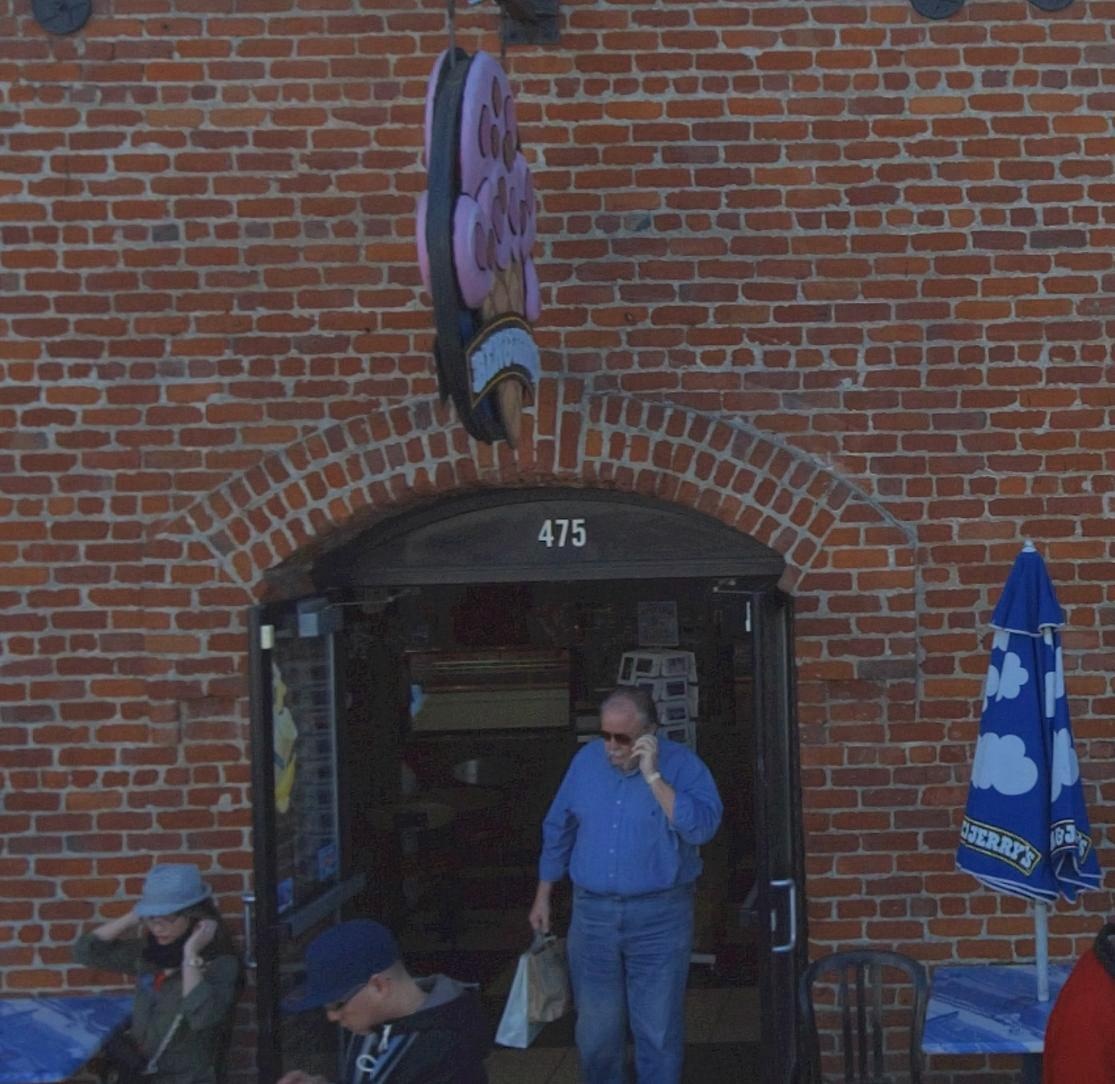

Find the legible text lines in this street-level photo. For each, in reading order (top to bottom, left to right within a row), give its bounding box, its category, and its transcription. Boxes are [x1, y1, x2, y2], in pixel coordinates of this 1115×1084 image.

[536, 515, 589, 549] StreetNumber: 475
[965, 821, 1038, 871] BusinessName: JERRY'S